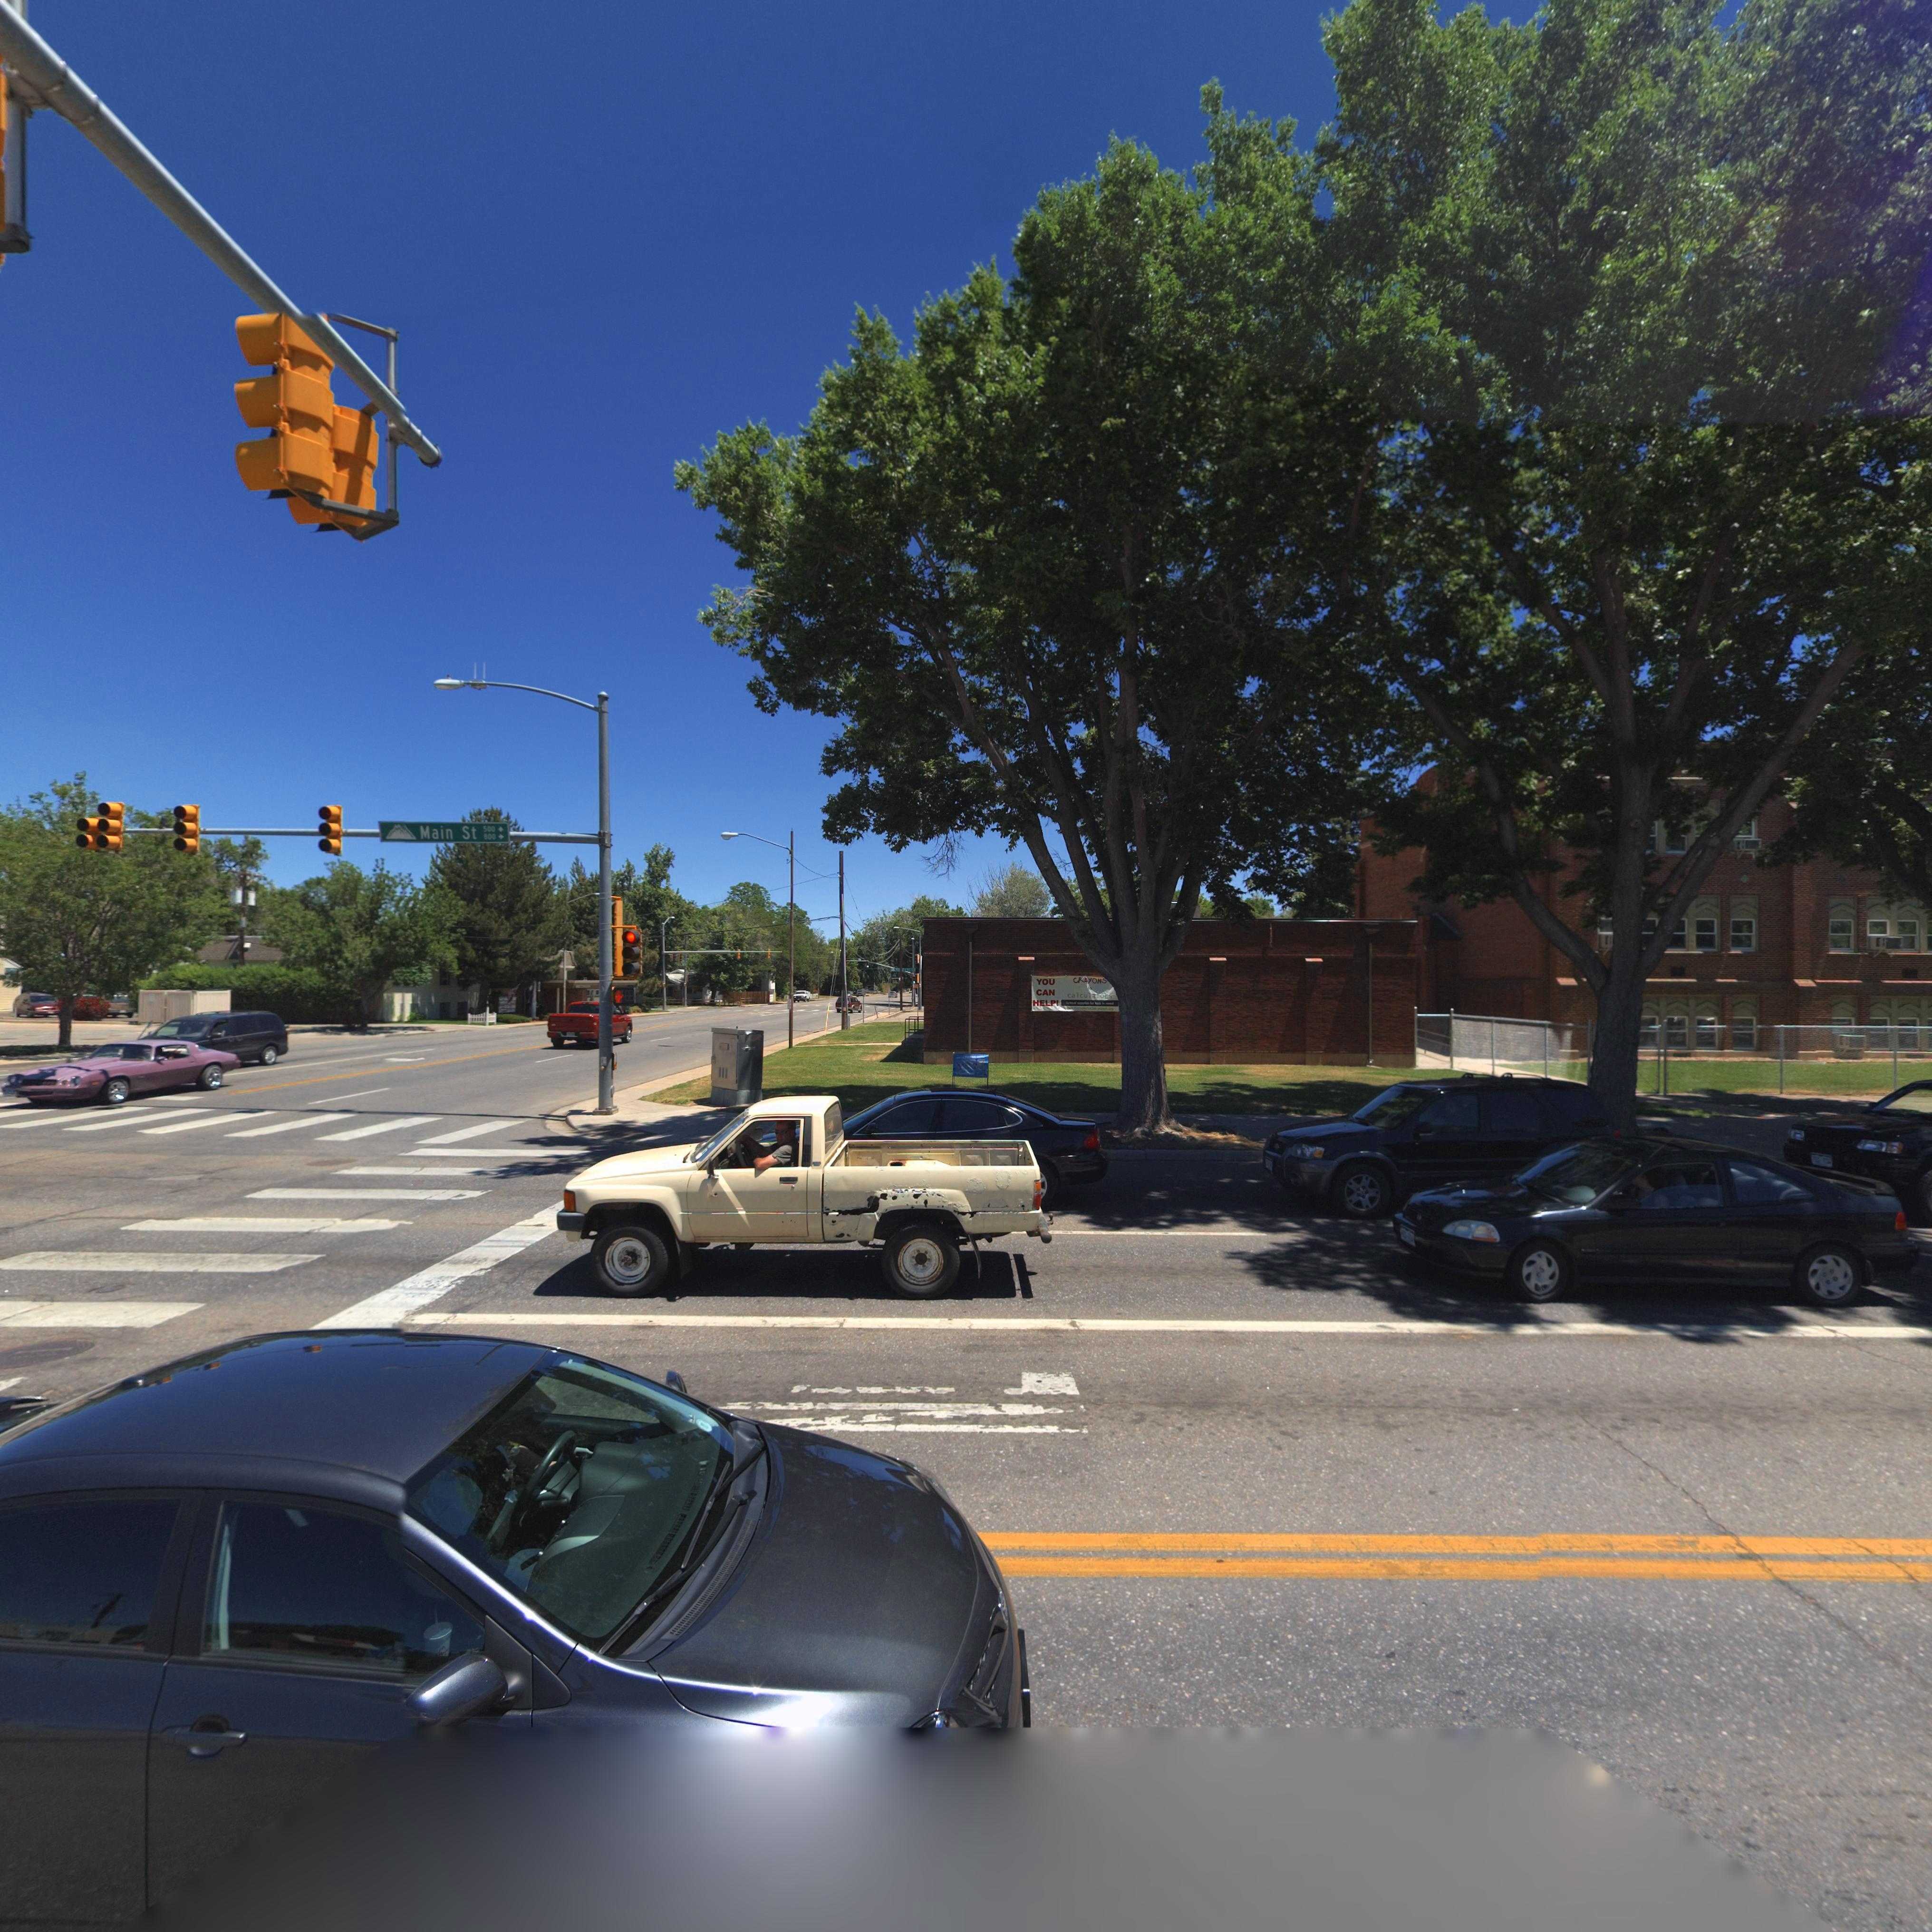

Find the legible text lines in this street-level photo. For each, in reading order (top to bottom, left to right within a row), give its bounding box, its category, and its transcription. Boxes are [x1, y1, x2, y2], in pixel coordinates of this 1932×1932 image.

[483, 825, 495, 832] StreetNumberRange: 500
[420, 825, 477, 840] StreetName: Main St
[483, 833, 504, 840] StreetNumberRange: 800->